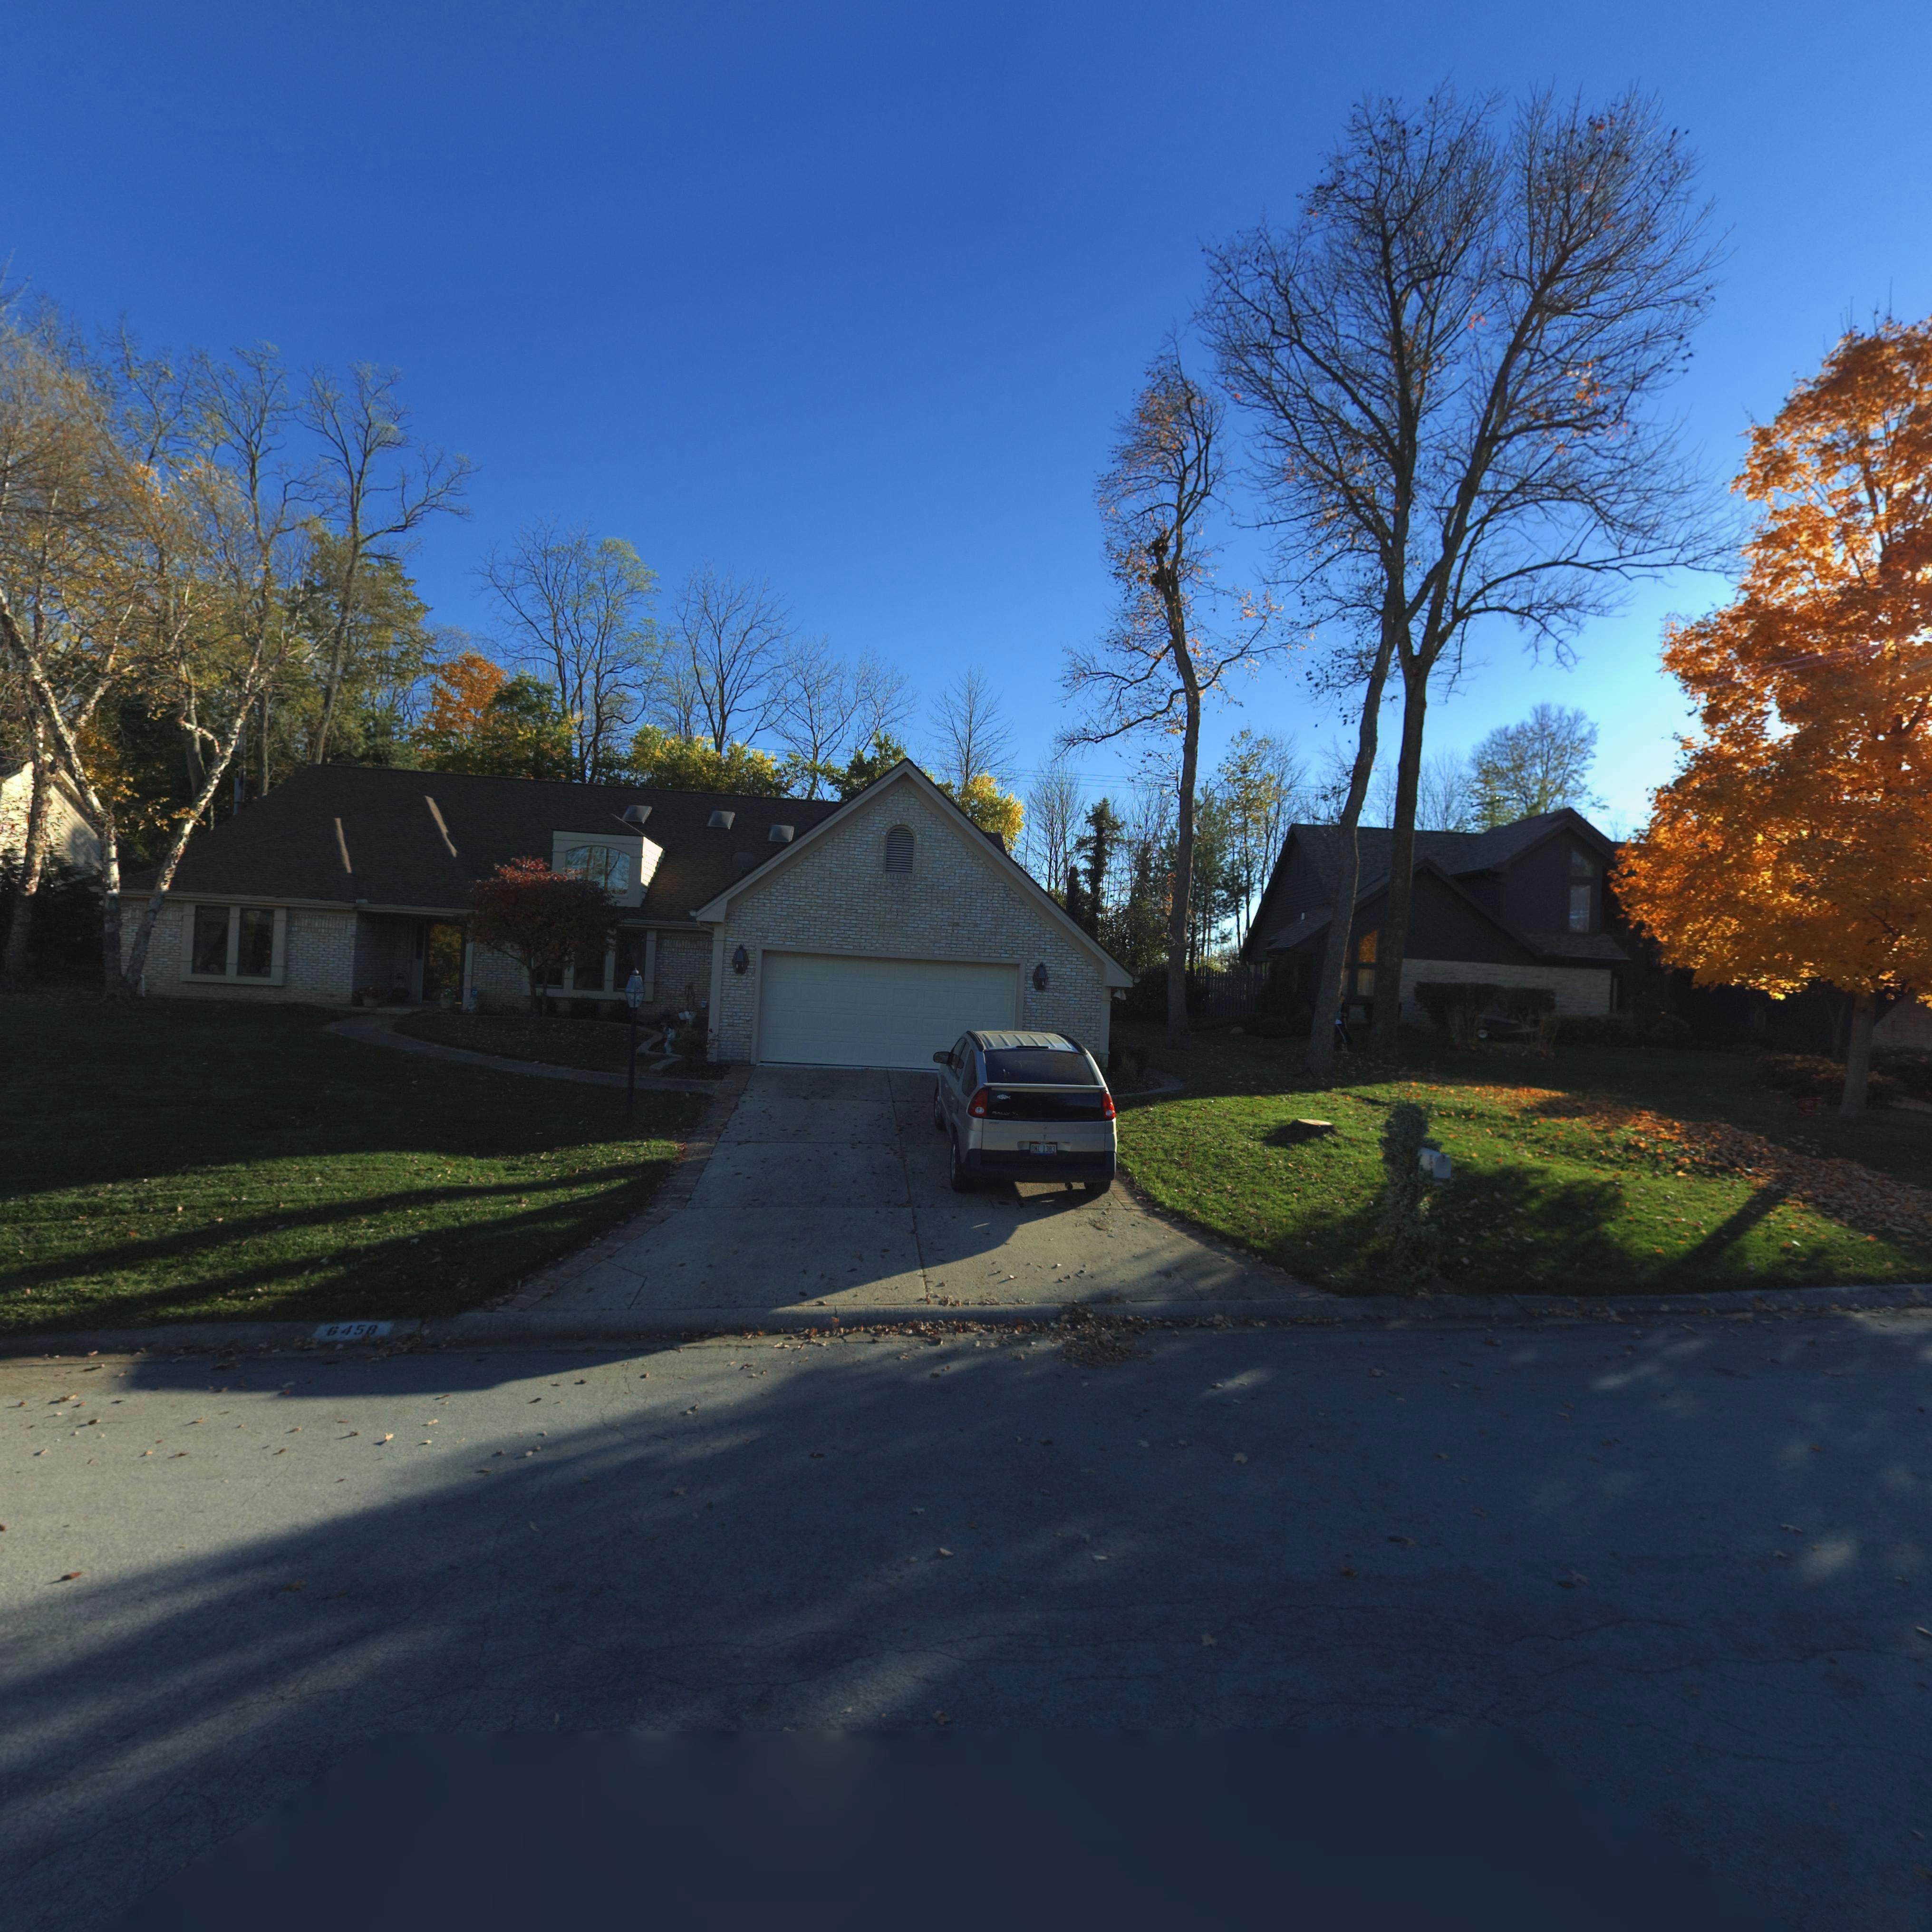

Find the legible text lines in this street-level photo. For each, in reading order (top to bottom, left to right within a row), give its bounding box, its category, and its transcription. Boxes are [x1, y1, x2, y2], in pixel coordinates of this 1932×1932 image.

[324, 1323, 380, 1337] StreetNumber: 6458